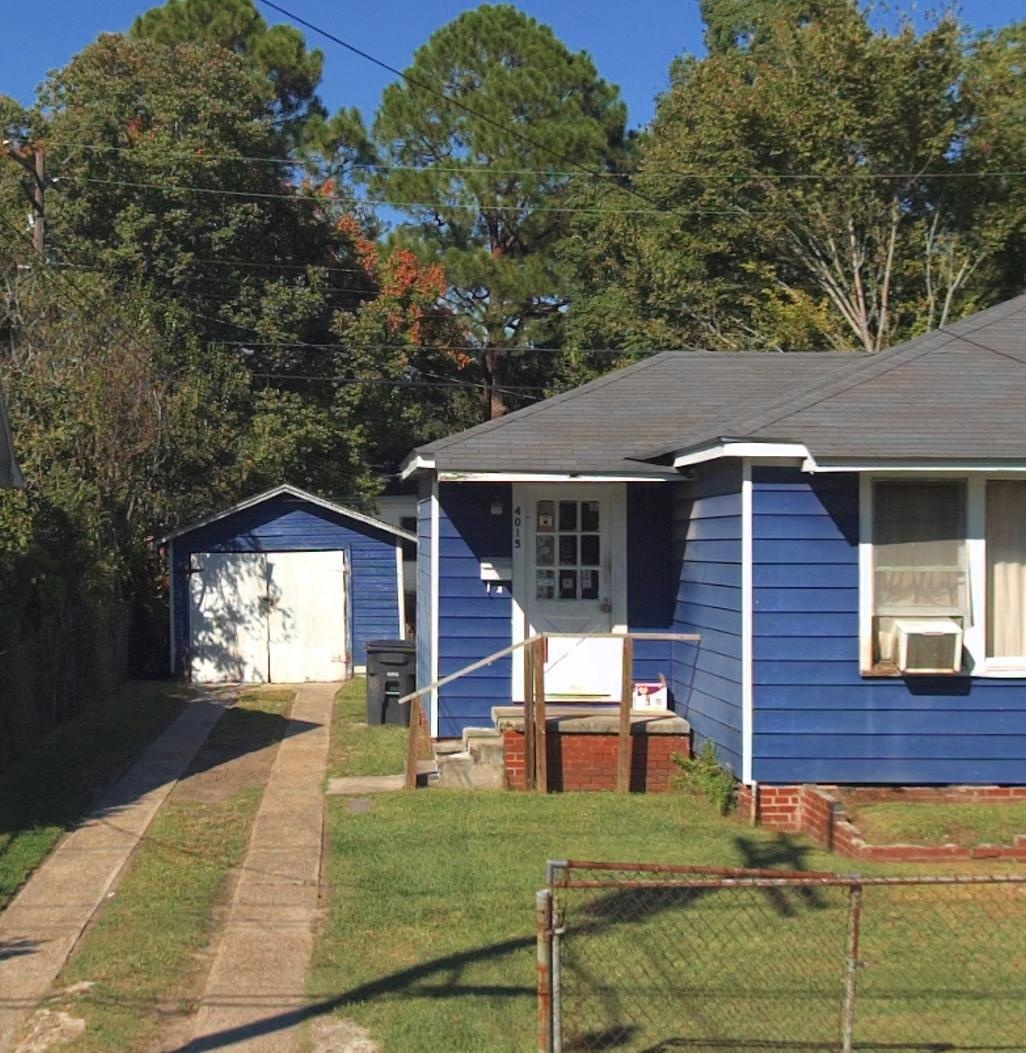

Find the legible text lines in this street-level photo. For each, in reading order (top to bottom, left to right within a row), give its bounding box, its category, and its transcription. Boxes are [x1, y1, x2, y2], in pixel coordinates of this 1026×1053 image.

[513, 505, 522, 550] StreetNumber: 4015